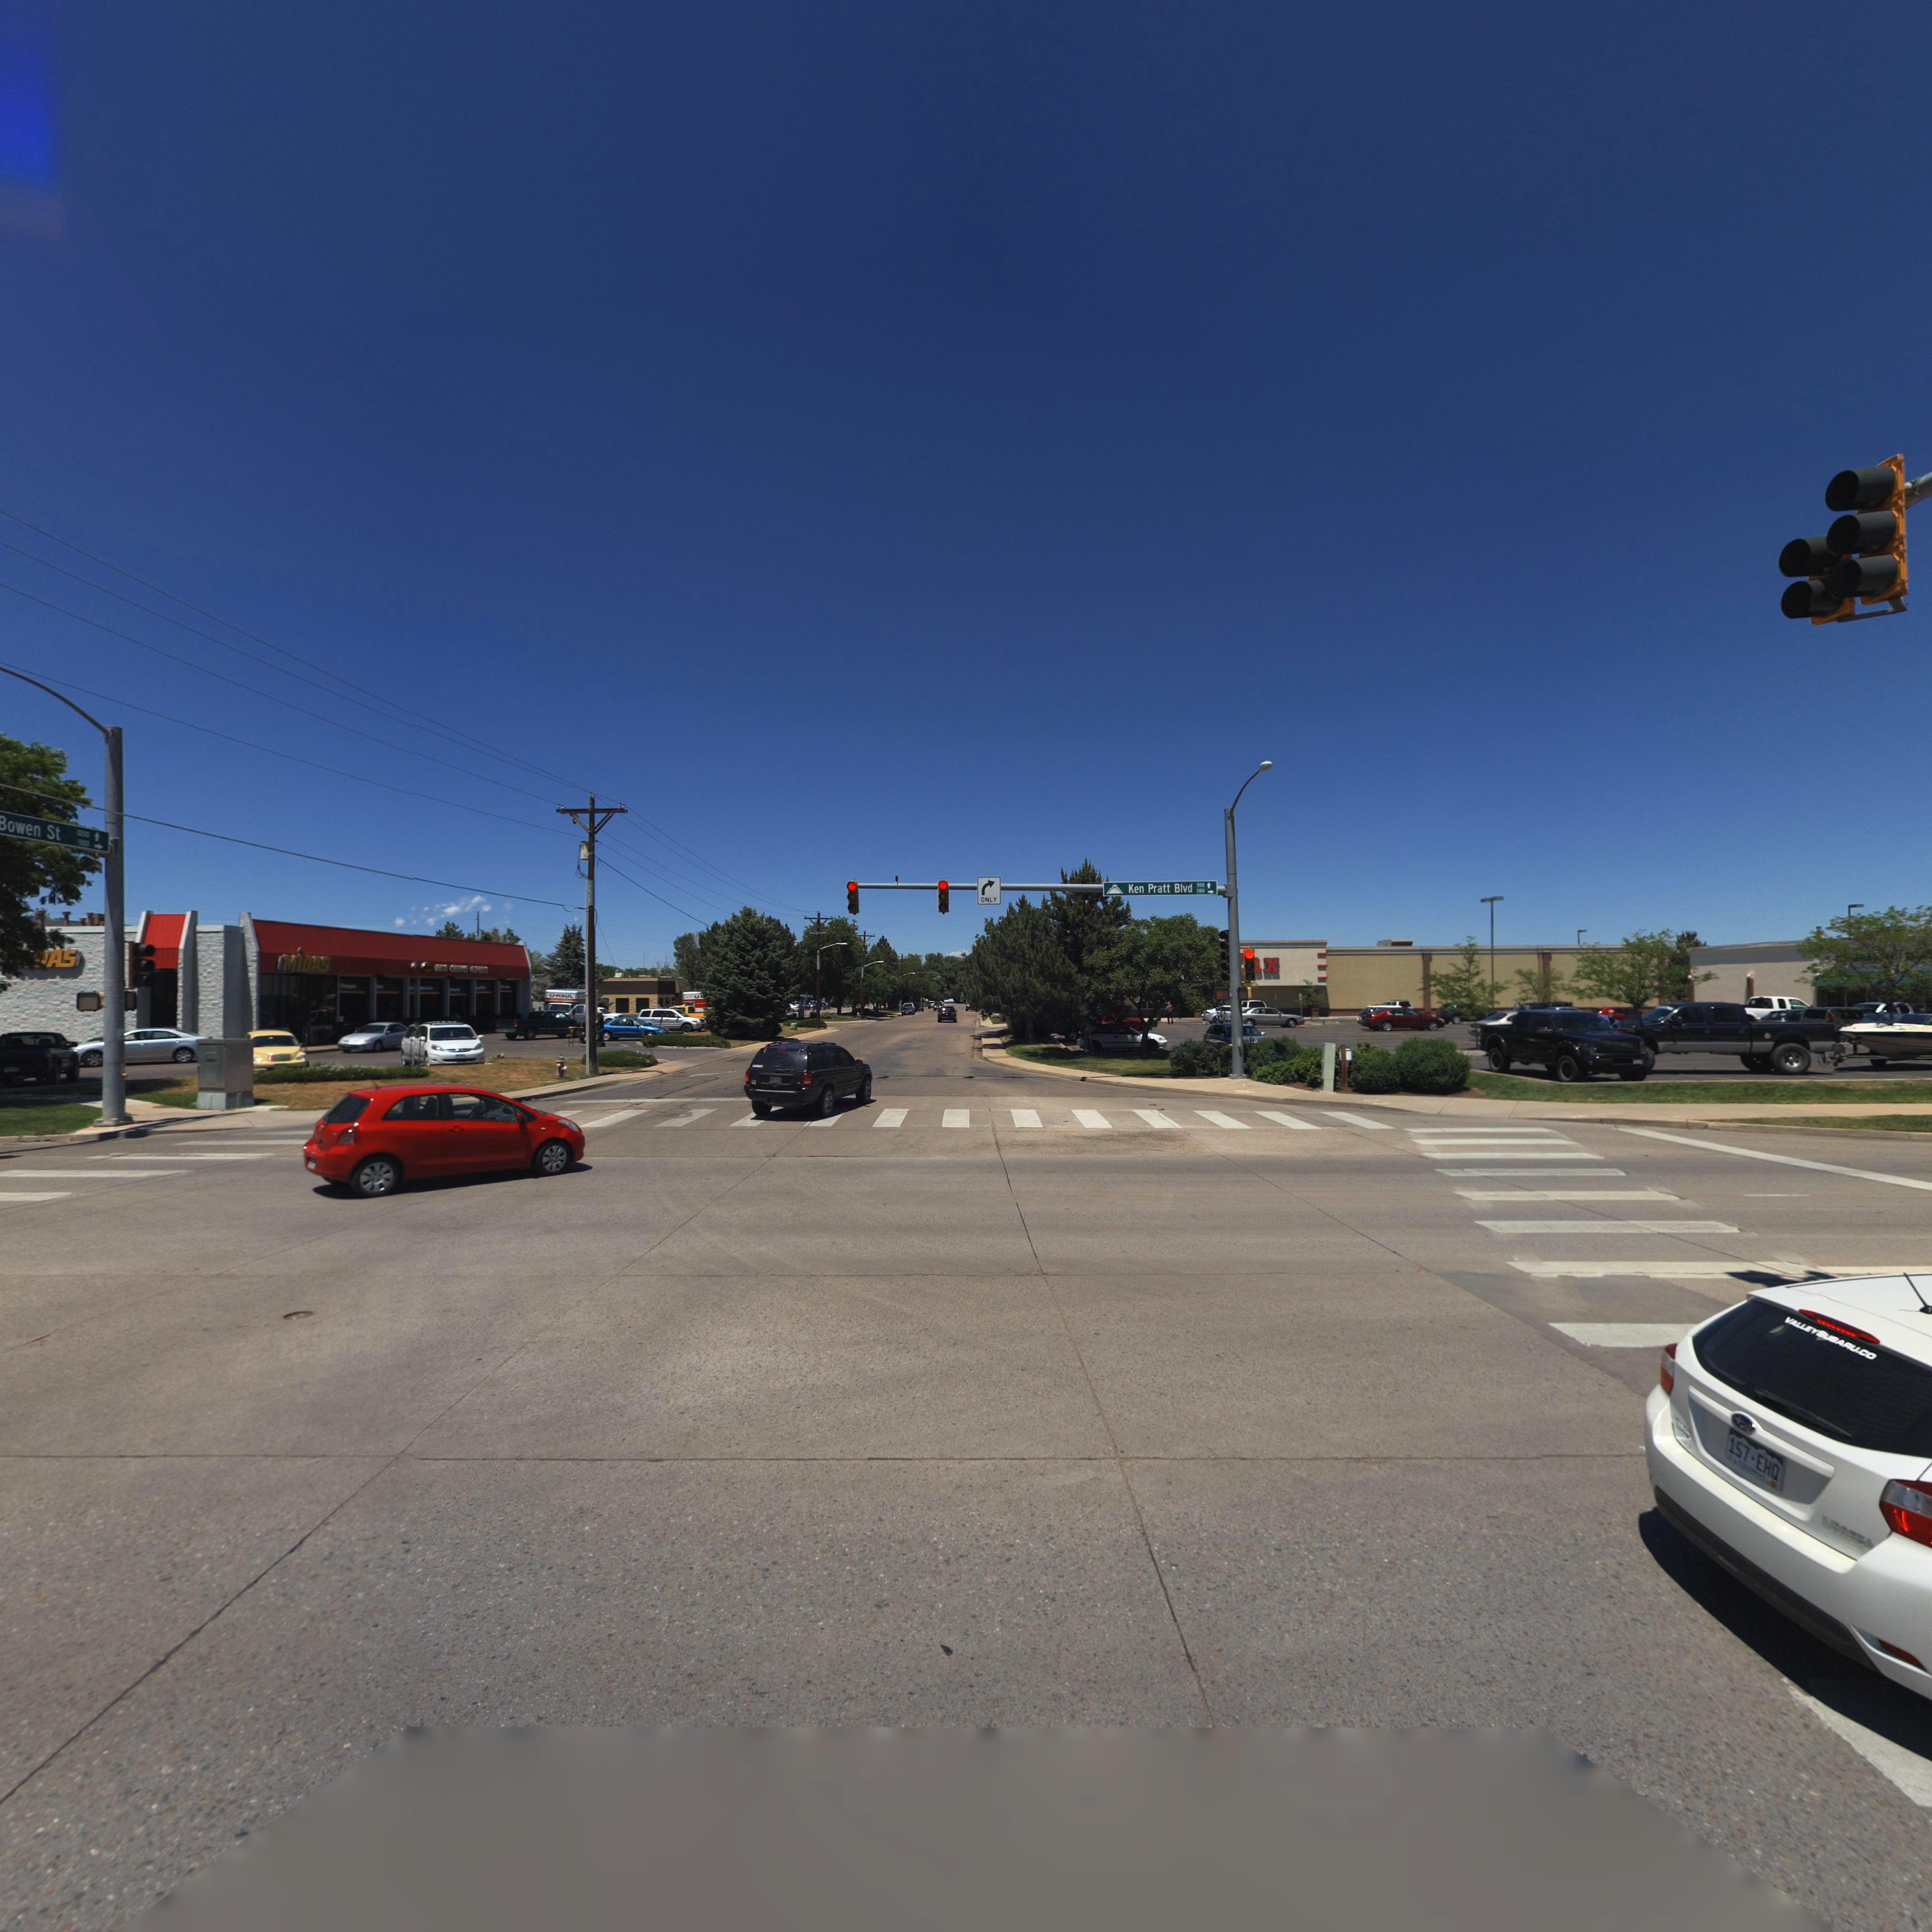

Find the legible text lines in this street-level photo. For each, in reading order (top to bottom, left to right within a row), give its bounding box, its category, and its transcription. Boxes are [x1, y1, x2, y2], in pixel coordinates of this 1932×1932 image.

[7, 820, 61, 841] StreetName: owen St
[76, 829, 90, 838] StreetNumberRange: 1200
[78, 839, 103, 849] StreetNumberRange: 500->
[1128, 883, 1193, 893] StreetName: Ken Pratt Blvd
[1196, 882, 1205, 887] StreetNumberRange: 500
[1196, 888, 1215, 894] StreetNumberRange: 1*00
[27, 948, 78, 968] BusinessName: *AS
[280, 946, 331, 972] BusinessName: MiDAS
[1254, 956, 1280, 973] BusinessName: *x